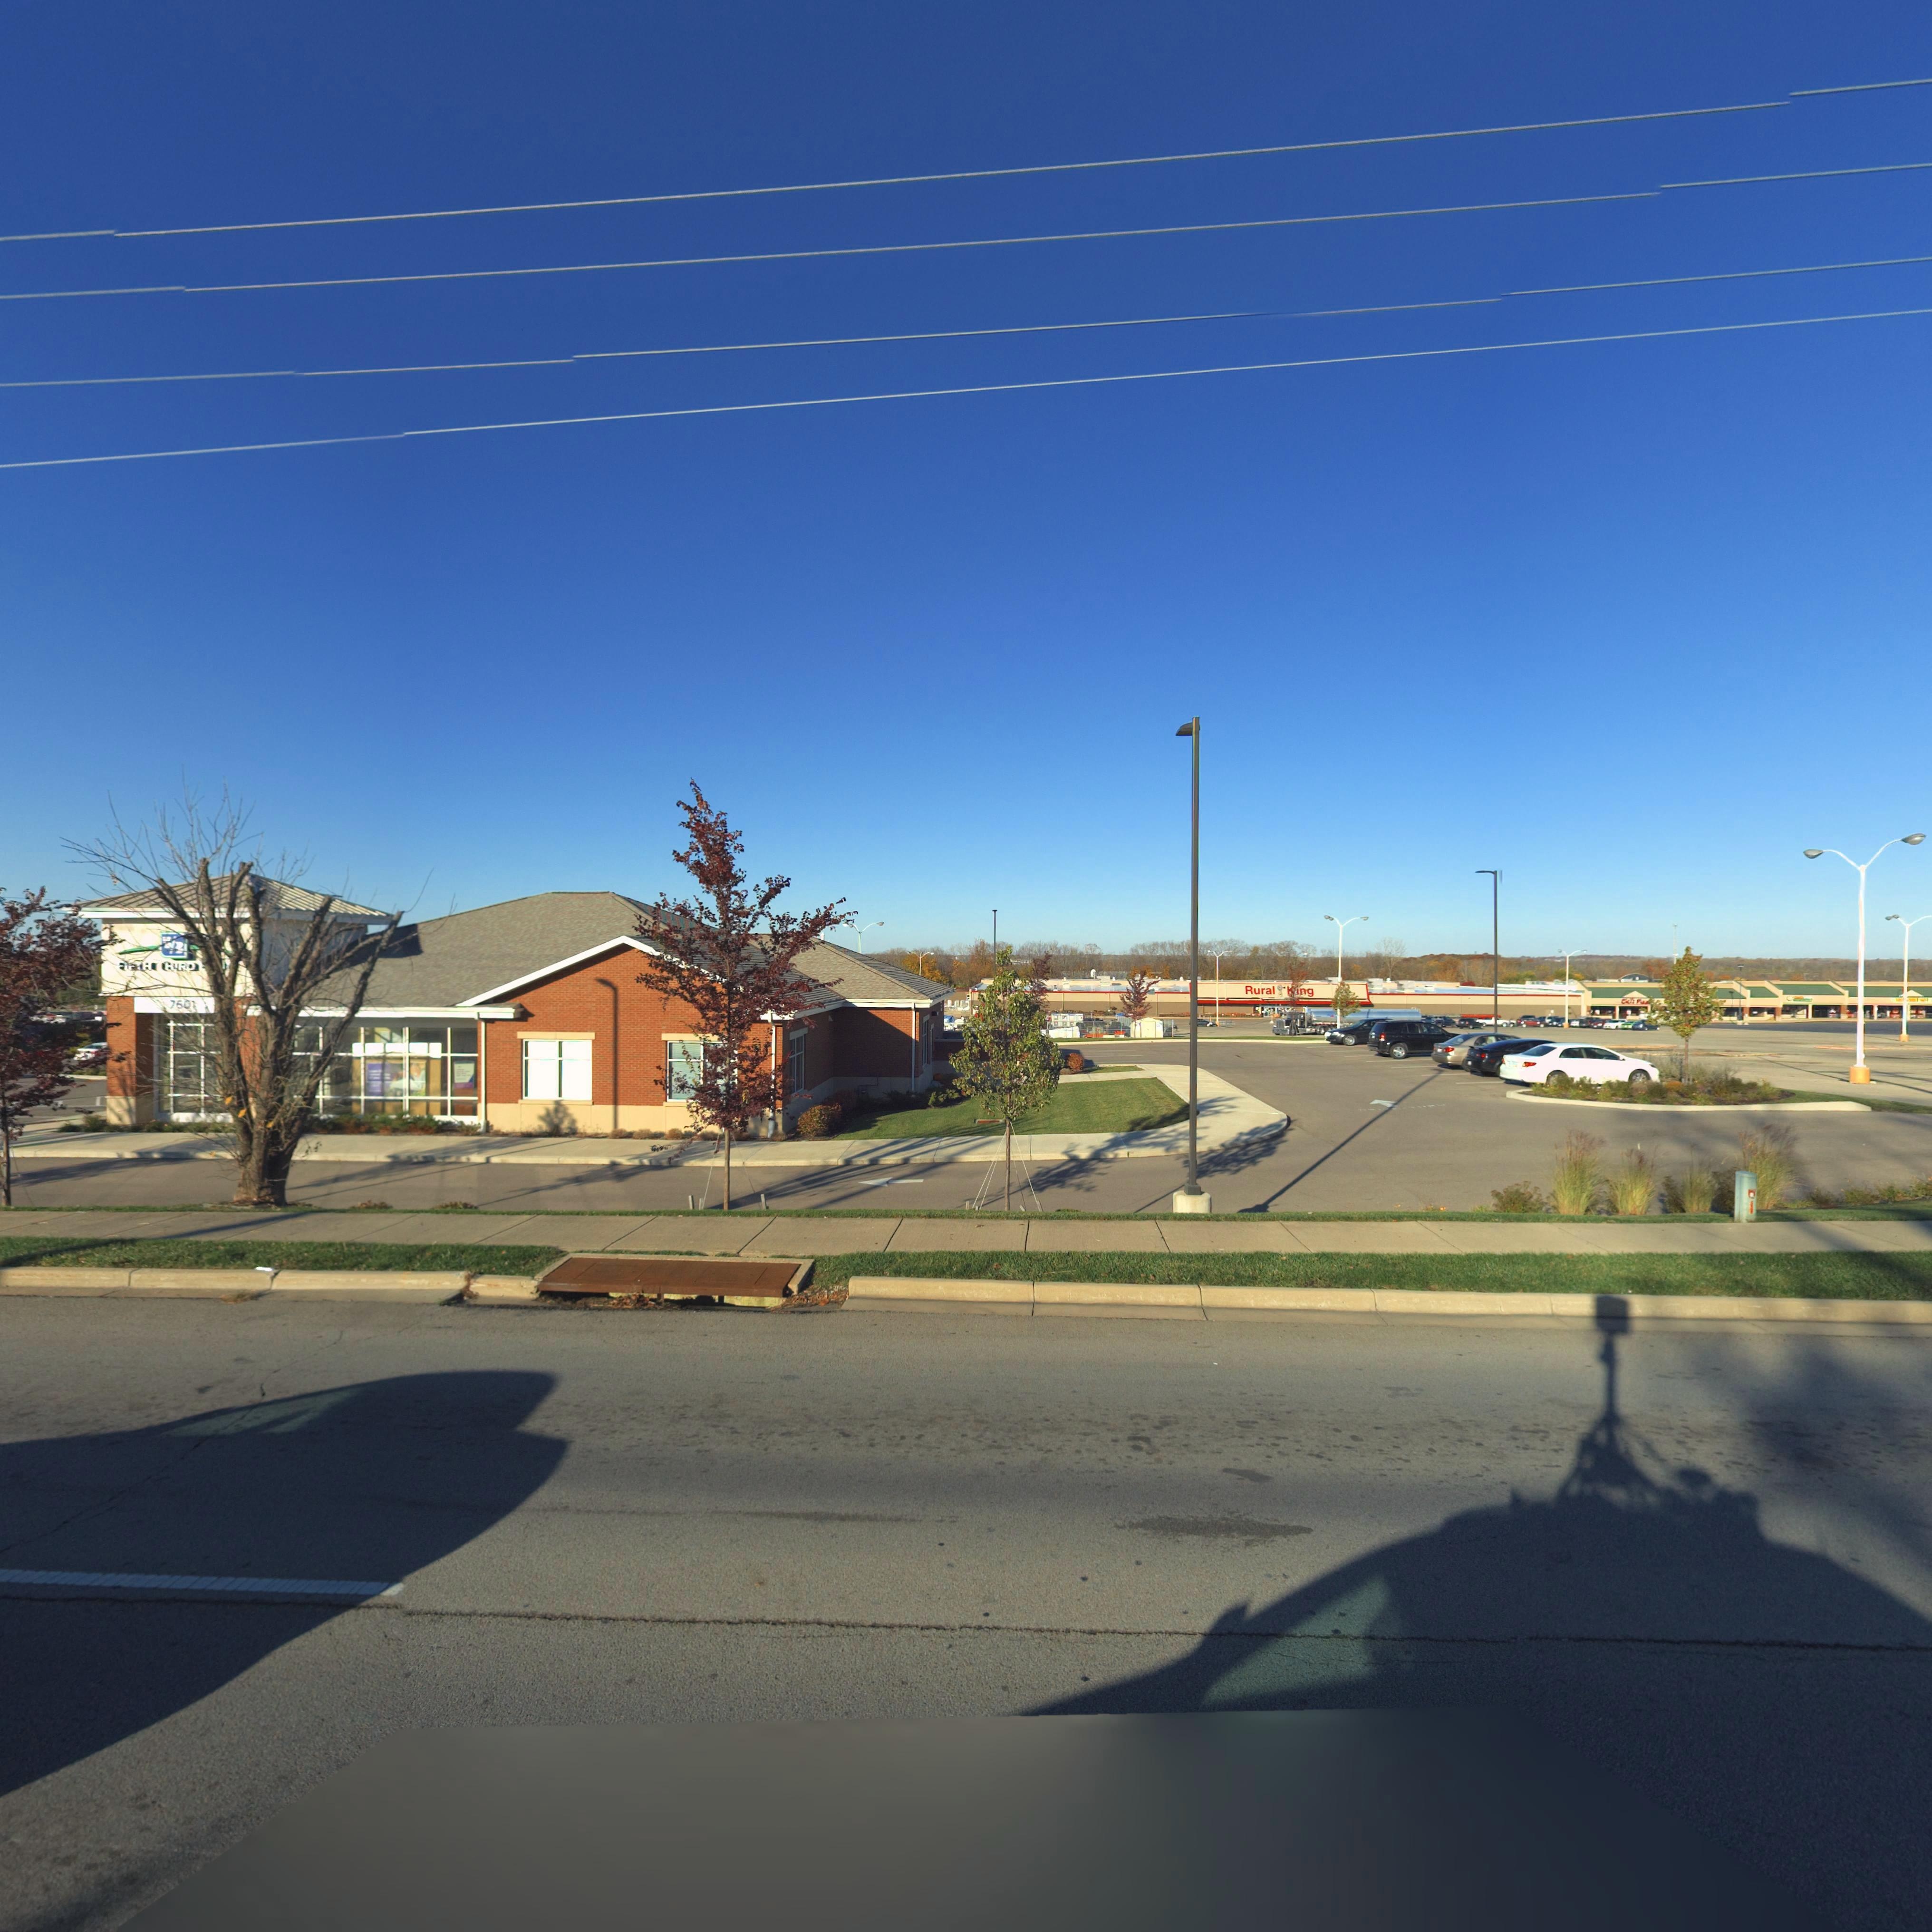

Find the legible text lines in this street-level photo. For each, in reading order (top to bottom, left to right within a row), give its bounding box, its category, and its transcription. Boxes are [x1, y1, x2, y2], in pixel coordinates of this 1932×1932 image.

[169, 999, 196, 1010] StreetNumber: 760*